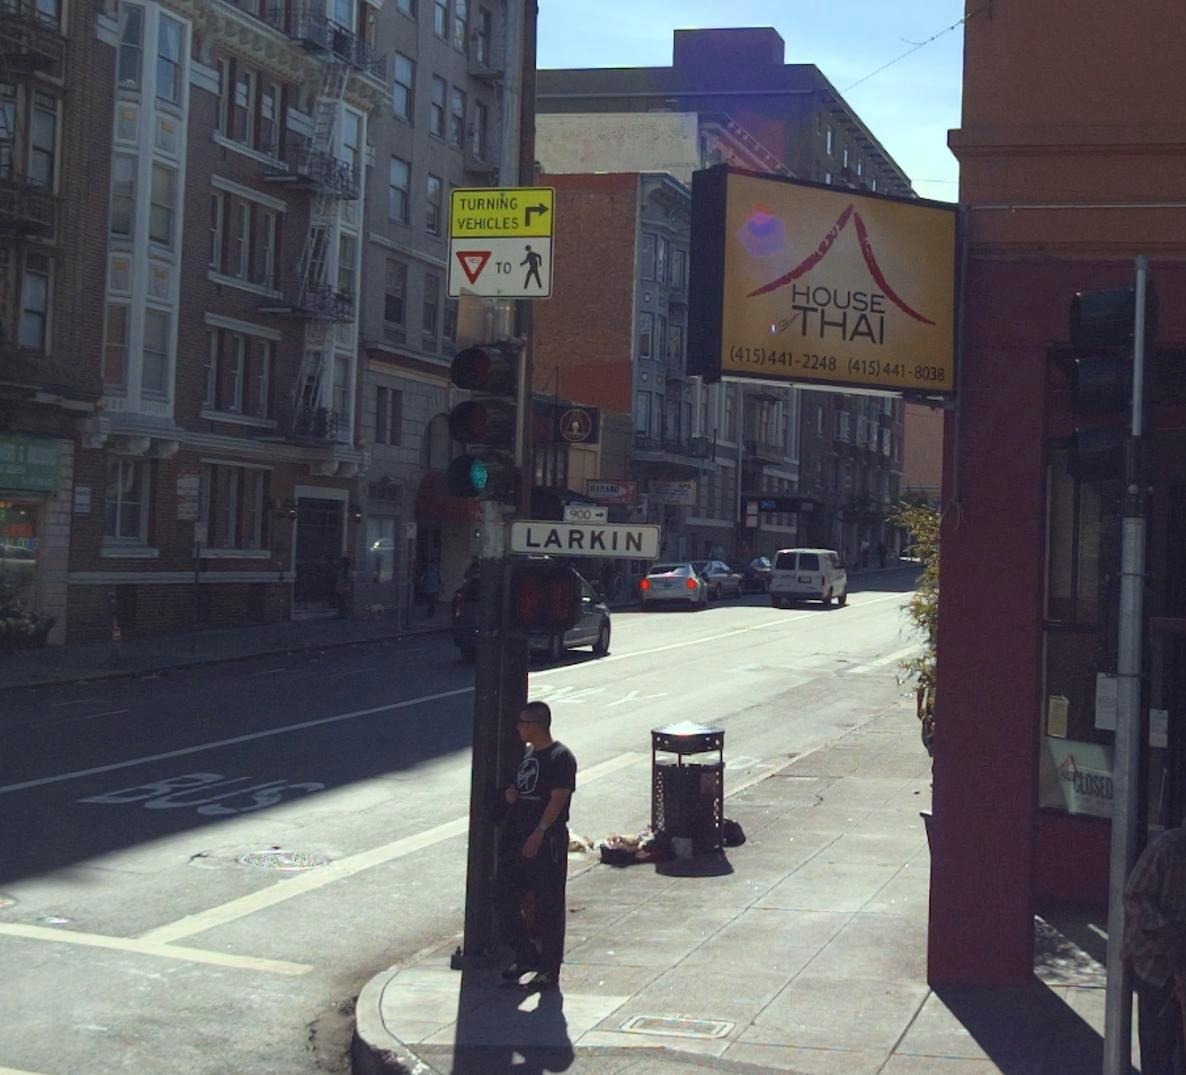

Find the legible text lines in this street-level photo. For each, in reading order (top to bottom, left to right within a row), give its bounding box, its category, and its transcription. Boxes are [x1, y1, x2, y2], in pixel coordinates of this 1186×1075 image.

[456, 195, 521, 213] None: TURNING
[453, 214, 523, 232] None: VEHICLES
[492, 259, 514, 278] None: TO
[789, 280, 889, 316] BusinessName: HOUSE
[789, 303, 887, 348] BusinessName: THAI
[727, 341, 948, 385] None: (415)441-2248 (415)441-8038
[567, 507, 607, 522] StreetNumberRange: 900->
[522, 524, 645, 555] StreetName: LARKIN
[71, 769, 328, 819] None: BUS
[1069, 767, 1116, 803] None: CLOSED